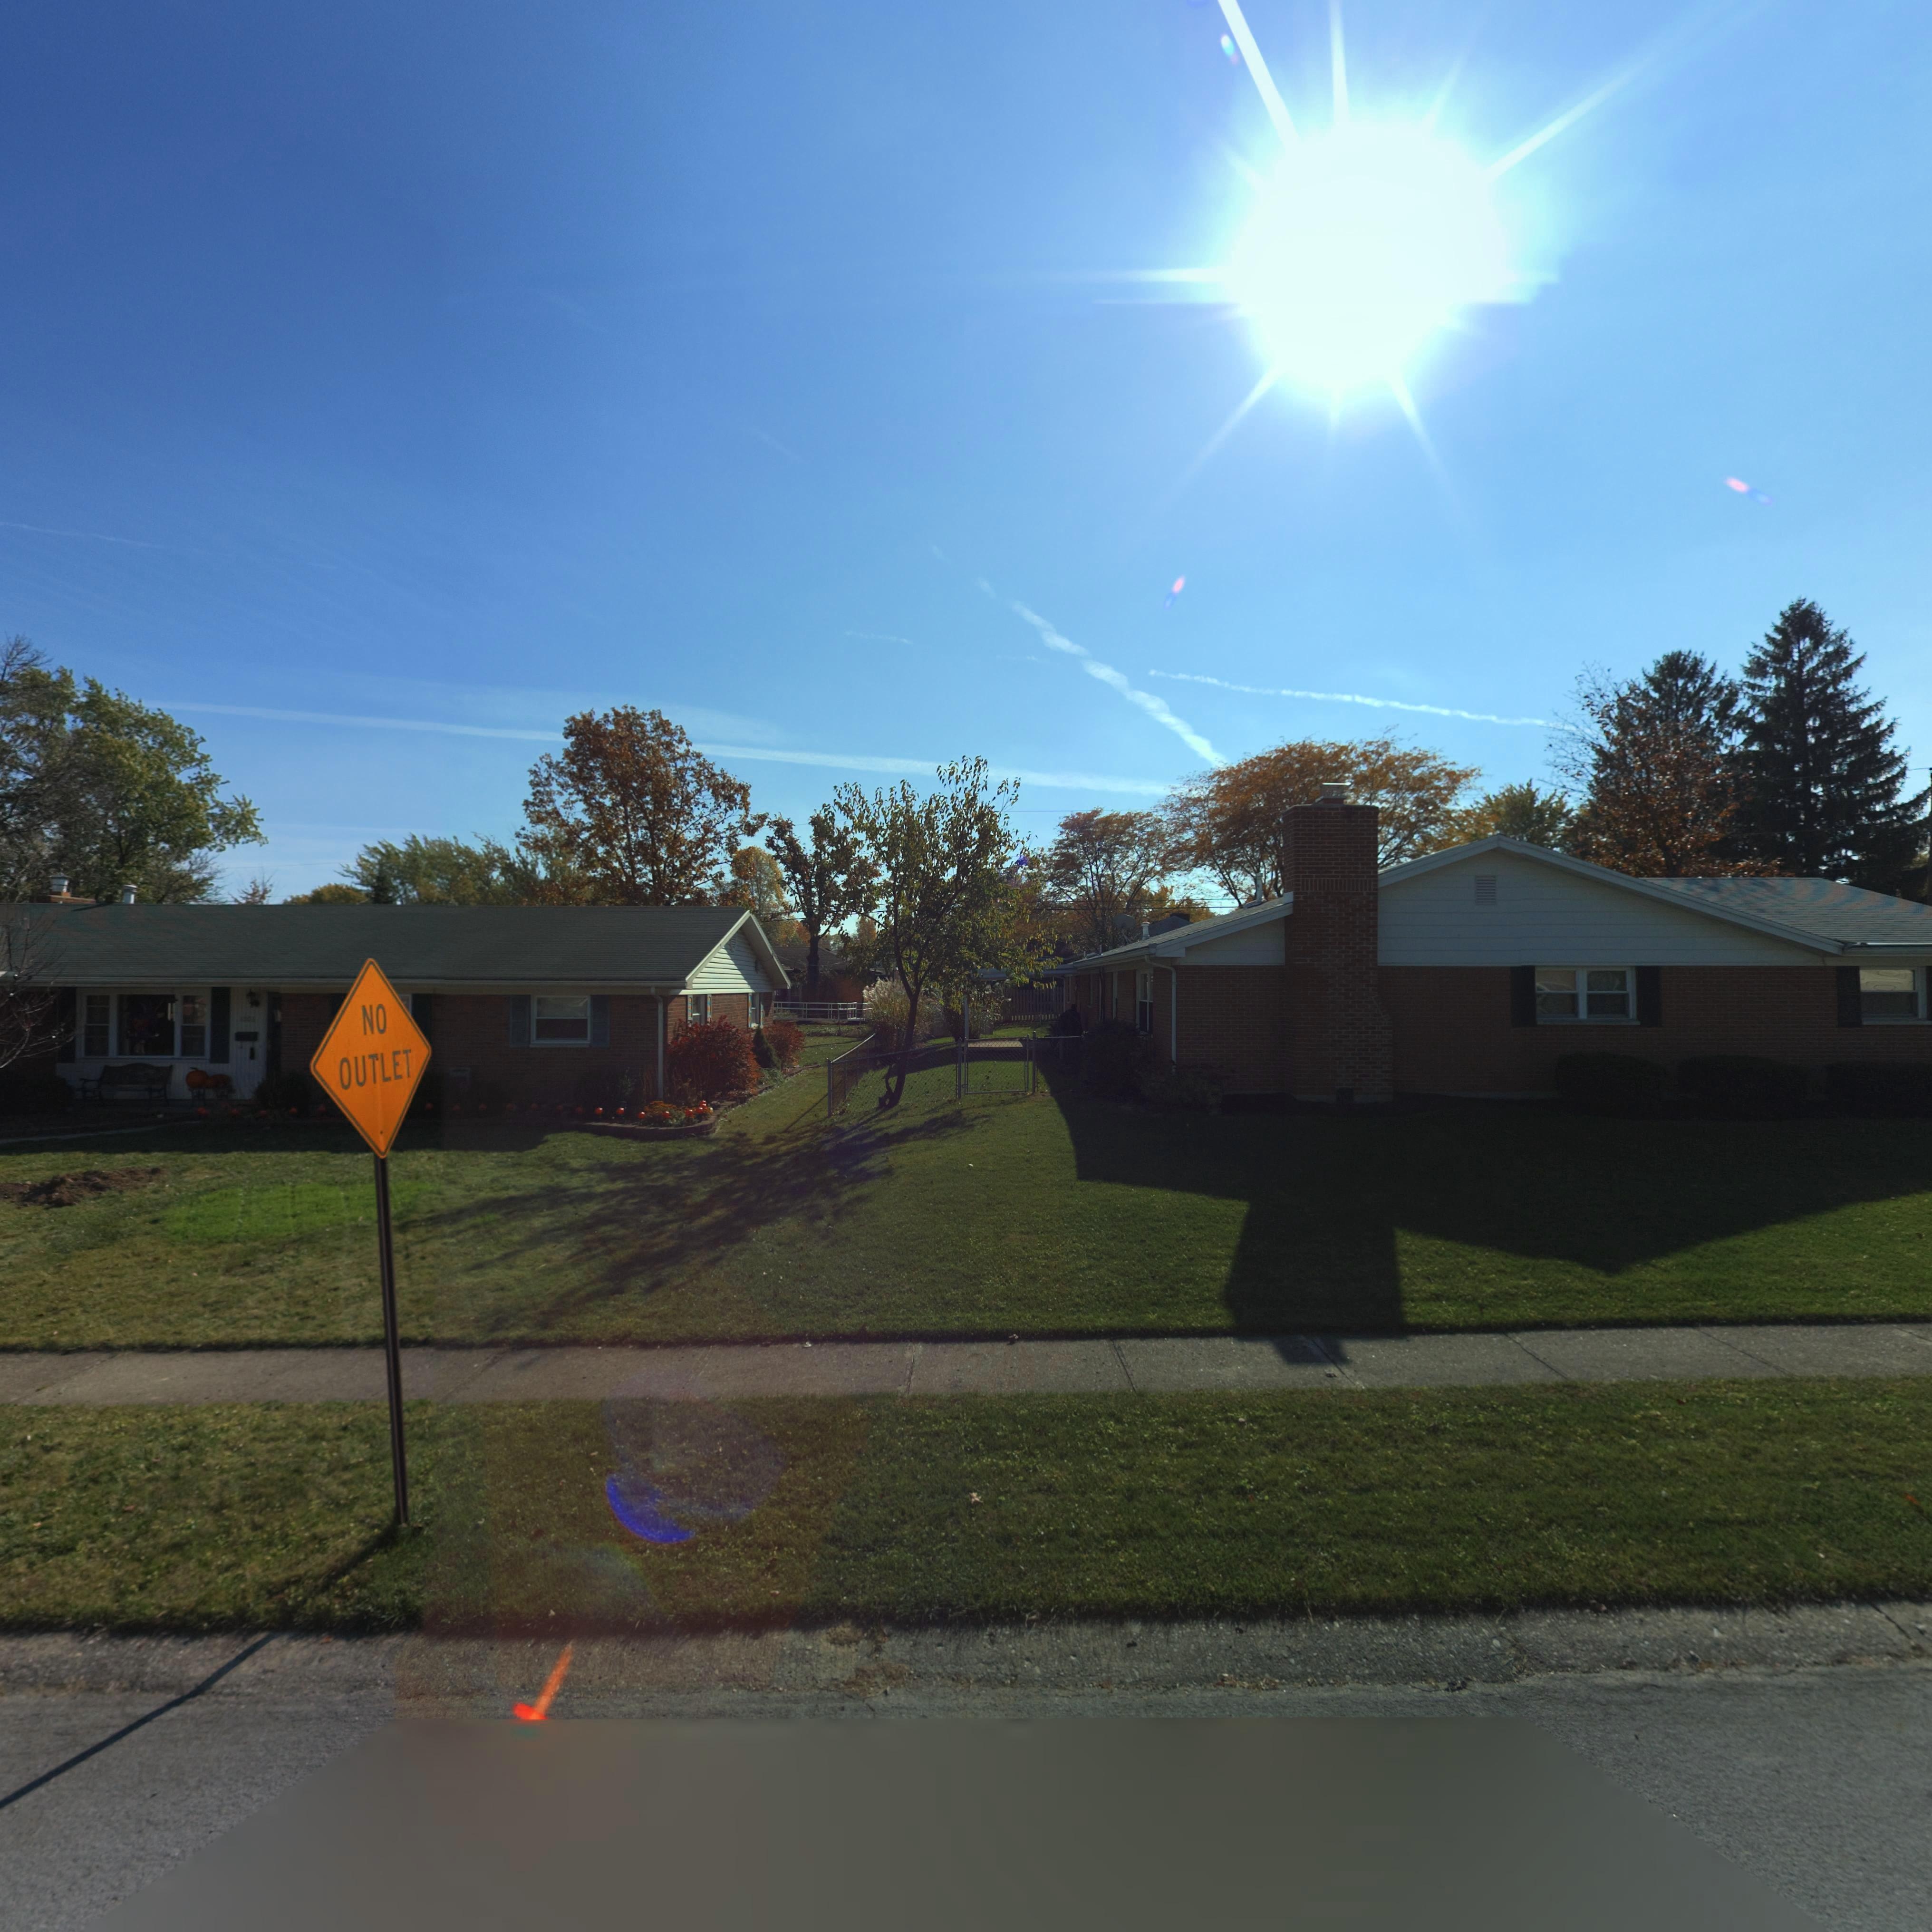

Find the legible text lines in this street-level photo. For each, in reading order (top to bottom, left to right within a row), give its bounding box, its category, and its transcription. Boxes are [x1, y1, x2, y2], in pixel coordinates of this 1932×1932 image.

[238, 1015, 257, 1023] StreetNumber: 1*0*